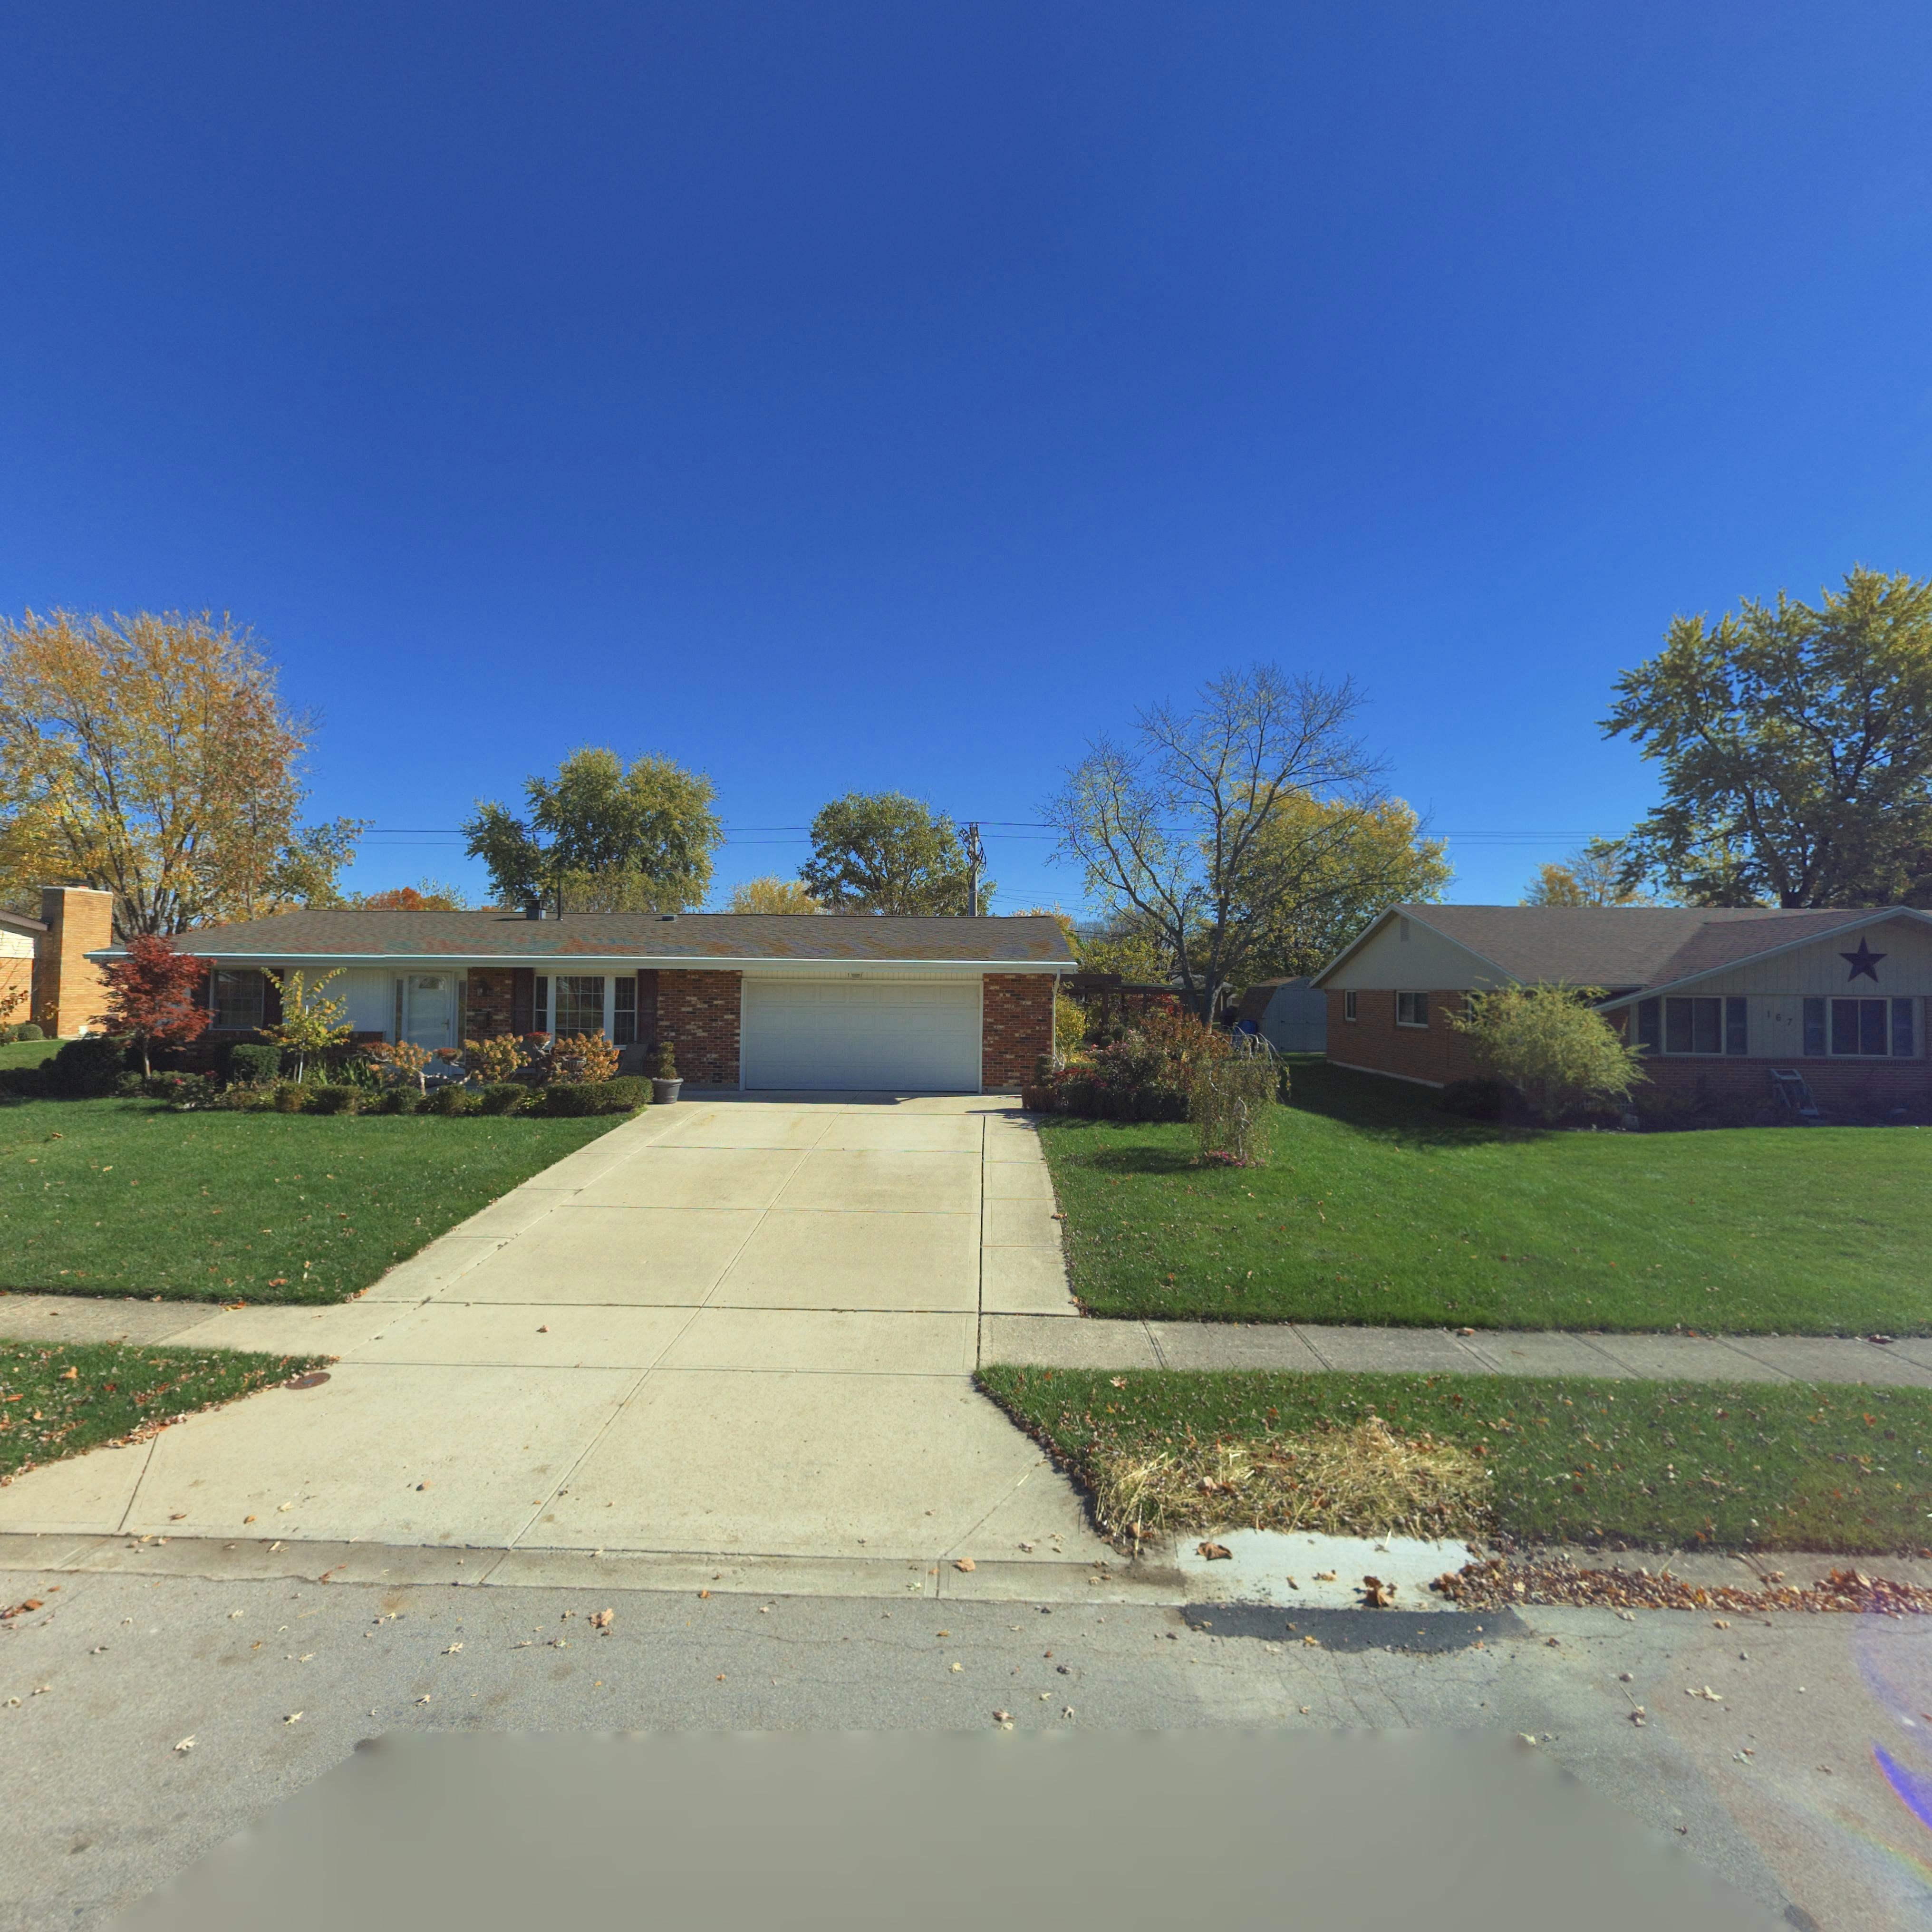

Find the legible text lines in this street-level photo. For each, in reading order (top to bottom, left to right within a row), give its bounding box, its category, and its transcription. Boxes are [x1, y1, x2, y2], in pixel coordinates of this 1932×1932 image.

[1766, 1009, 1794, 1027] StreetNumber: 167